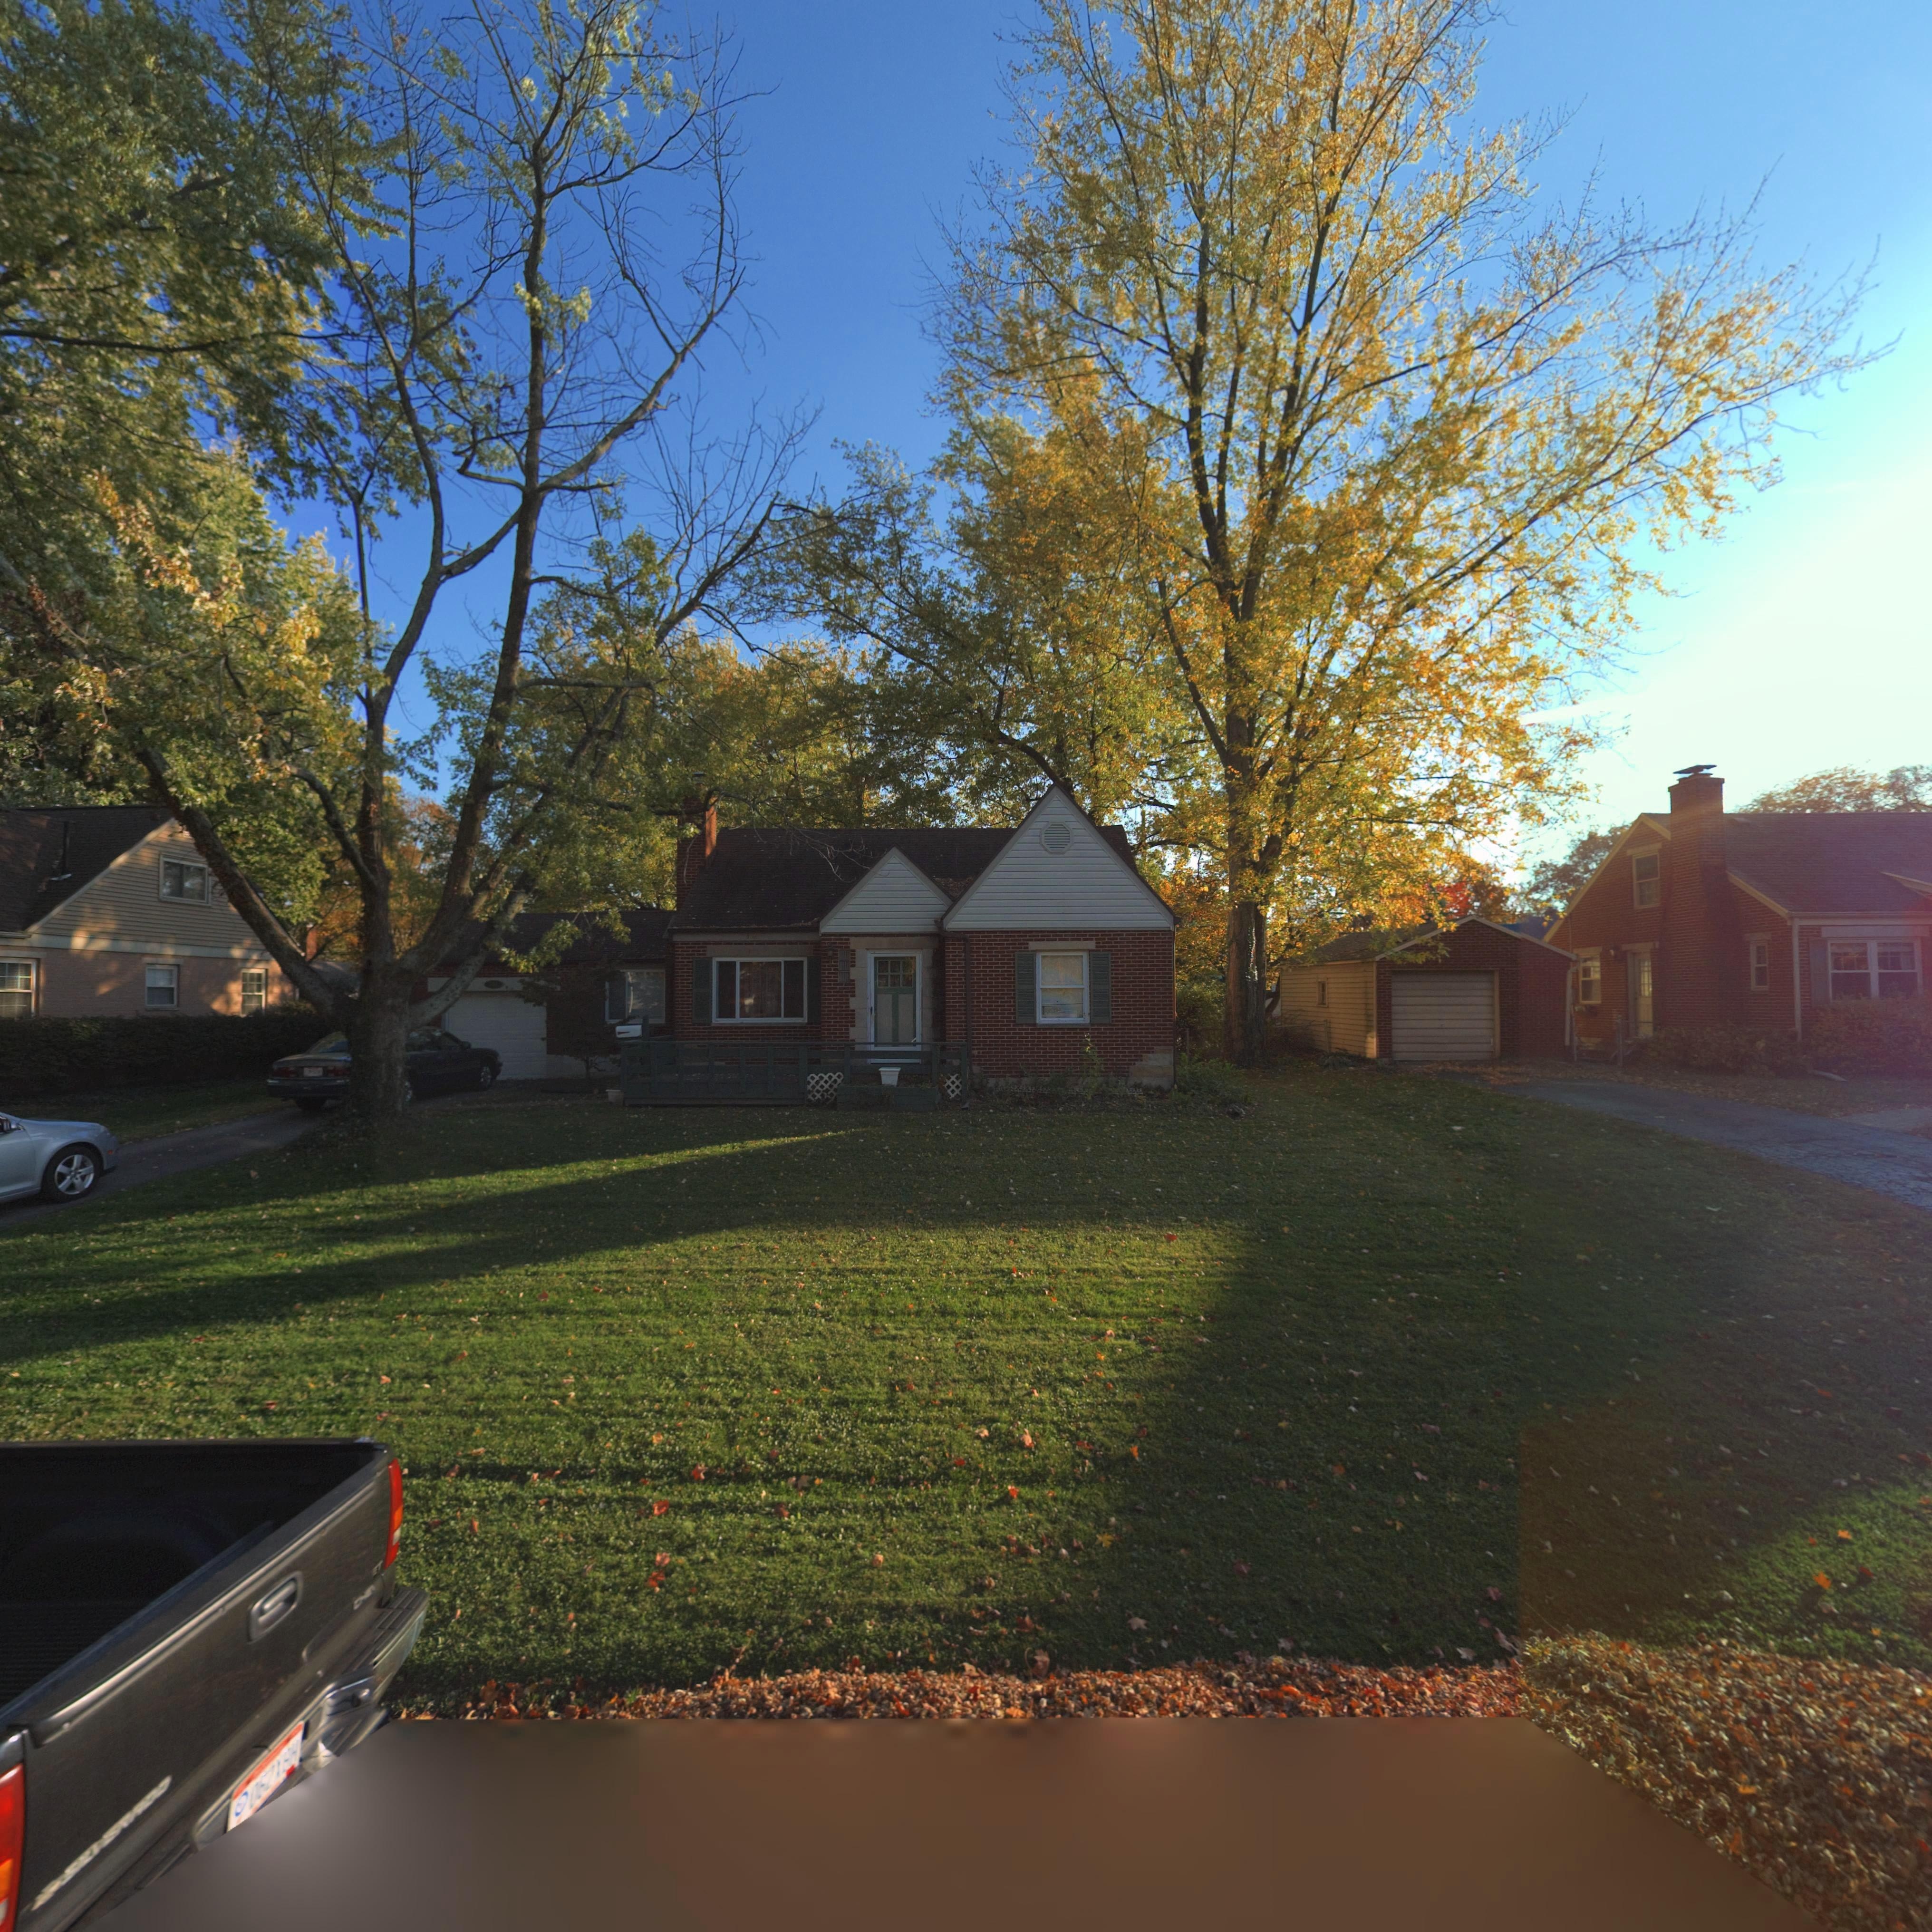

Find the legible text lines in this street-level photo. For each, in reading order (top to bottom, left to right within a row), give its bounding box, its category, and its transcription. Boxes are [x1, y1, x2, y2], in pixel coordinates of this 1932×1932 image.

[489, 981, 499, 988] StreetNumber: 3**